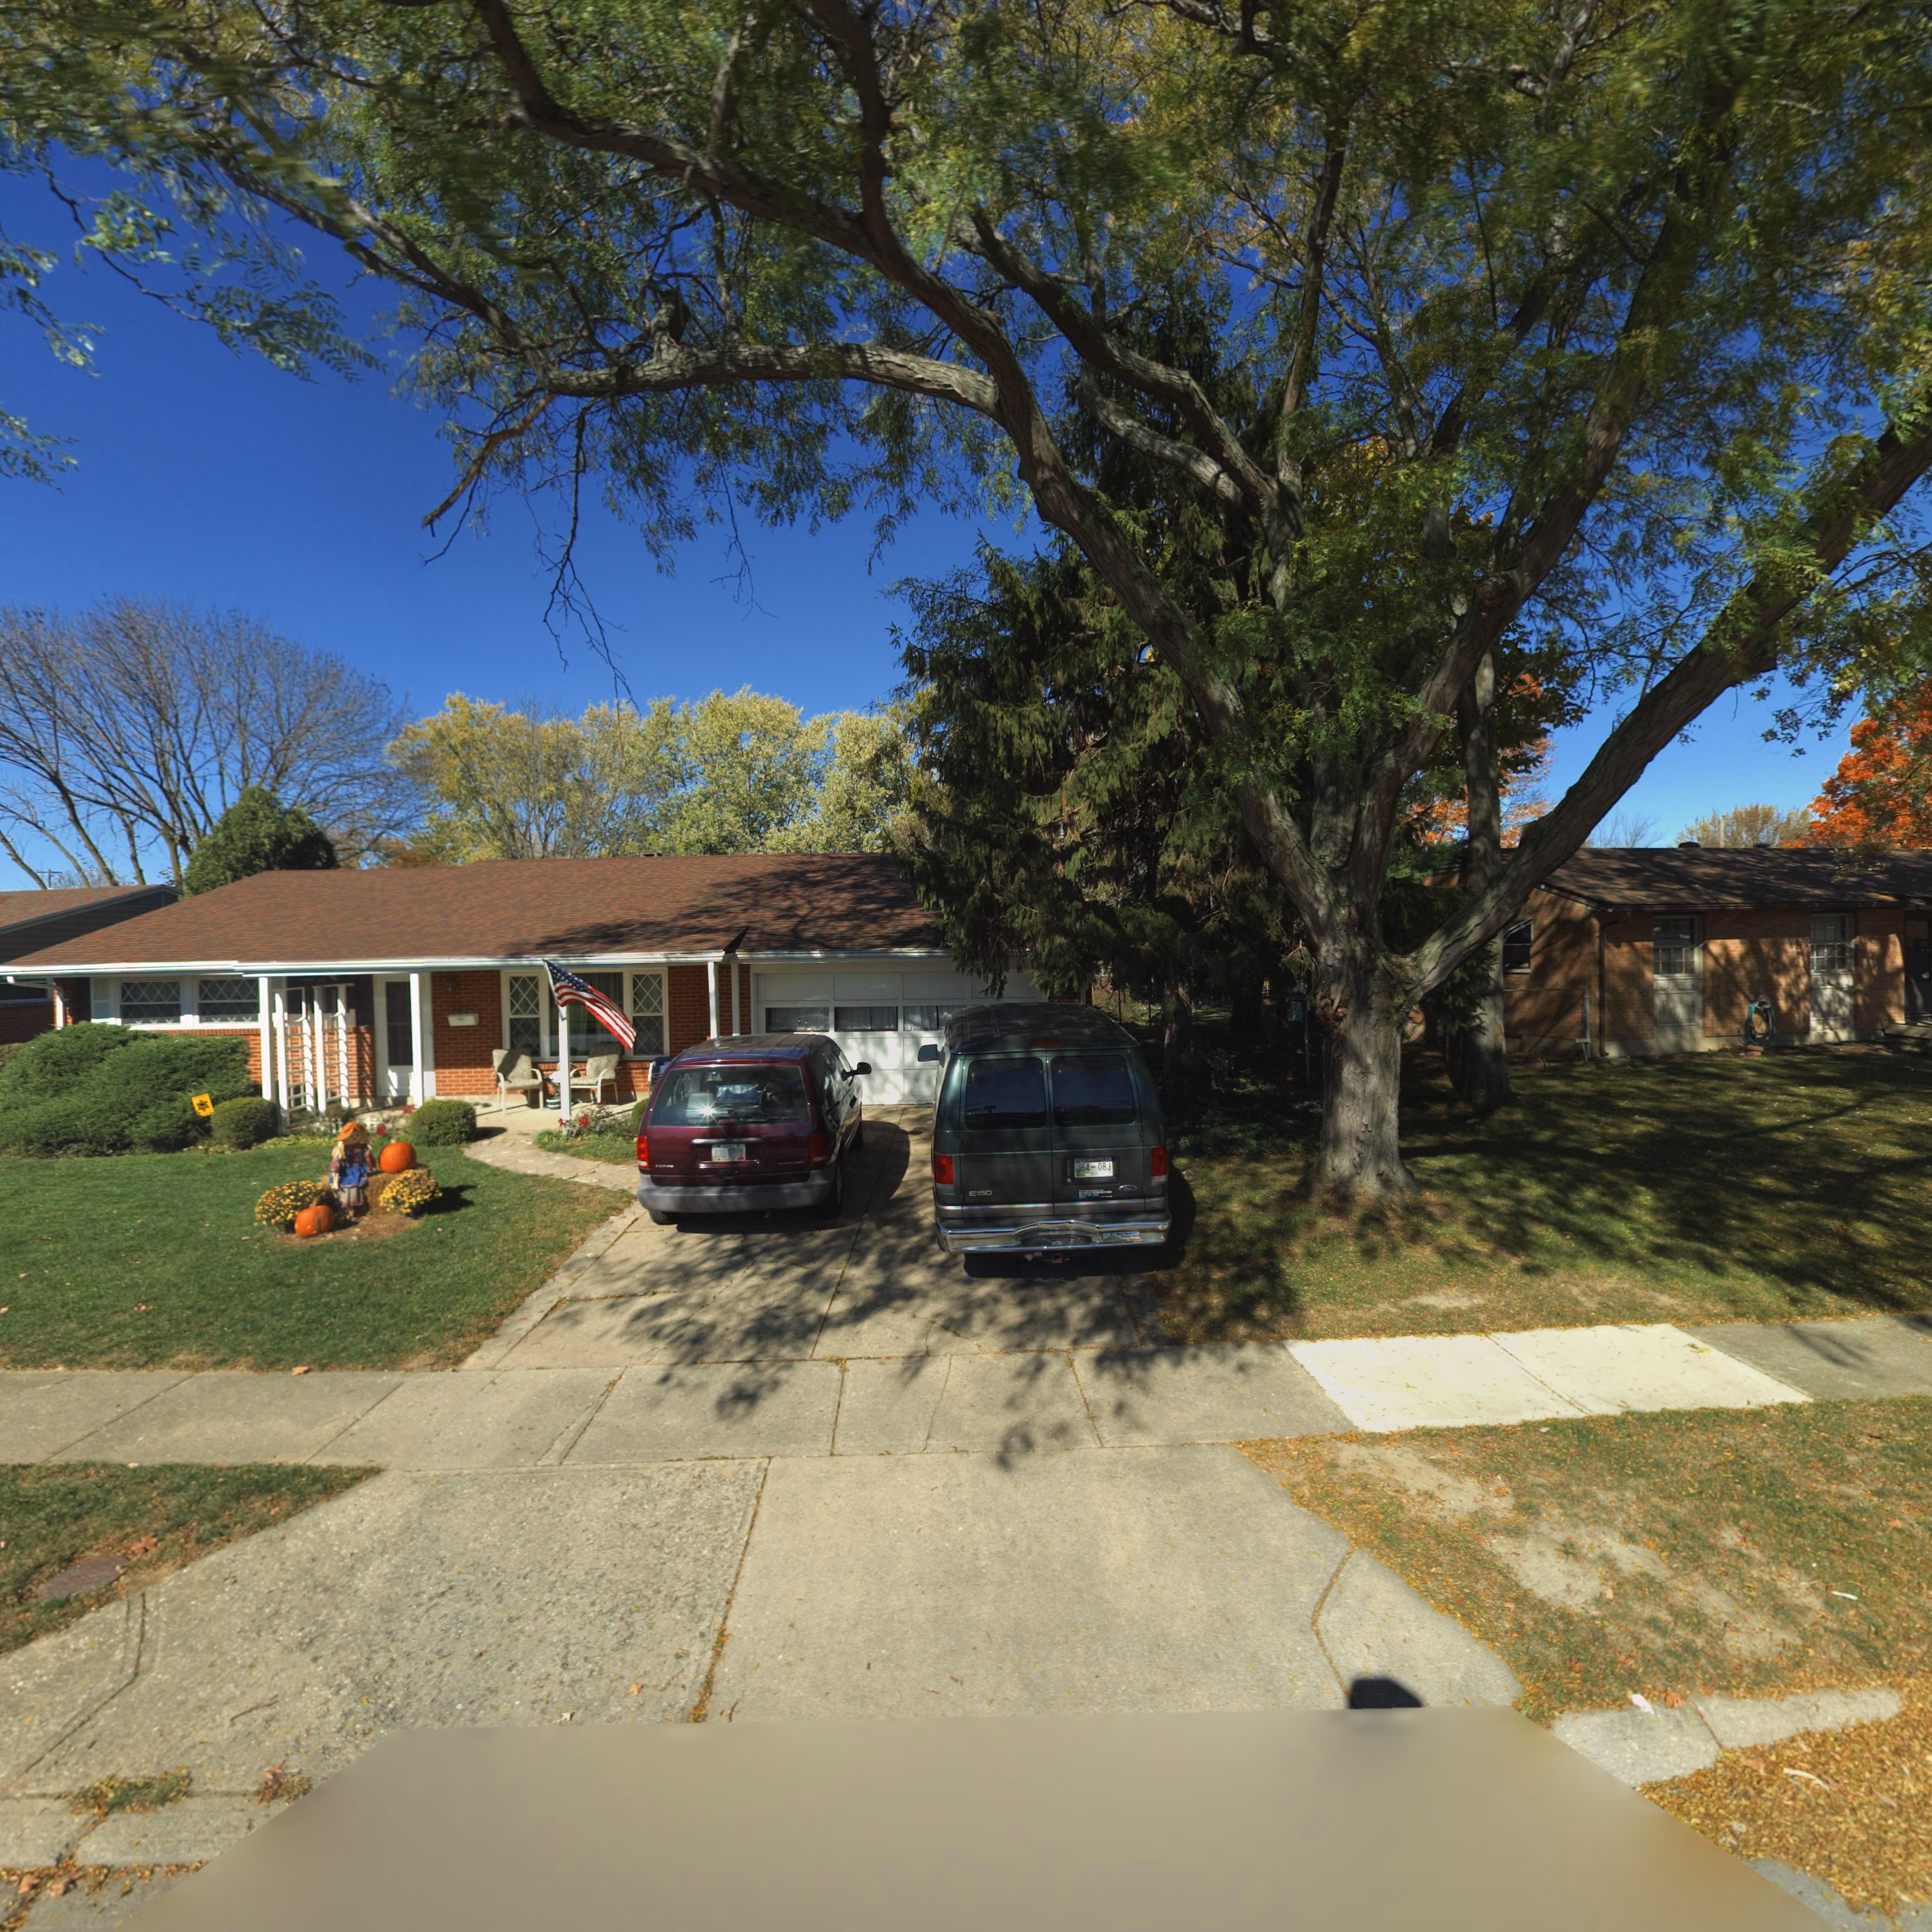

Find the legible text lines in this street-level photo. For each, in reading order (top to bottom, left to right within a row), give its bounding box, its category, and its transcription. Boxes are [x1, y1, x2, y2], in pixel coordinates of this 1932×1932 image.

[560, 1127, 578, 1138] StreetNumber: *17
[726, 1148, 733, 1158] None: 6
[1076, 1161, 1112, 1172] None: J64-08J
[967, 1189, 993, 1197] None: E150